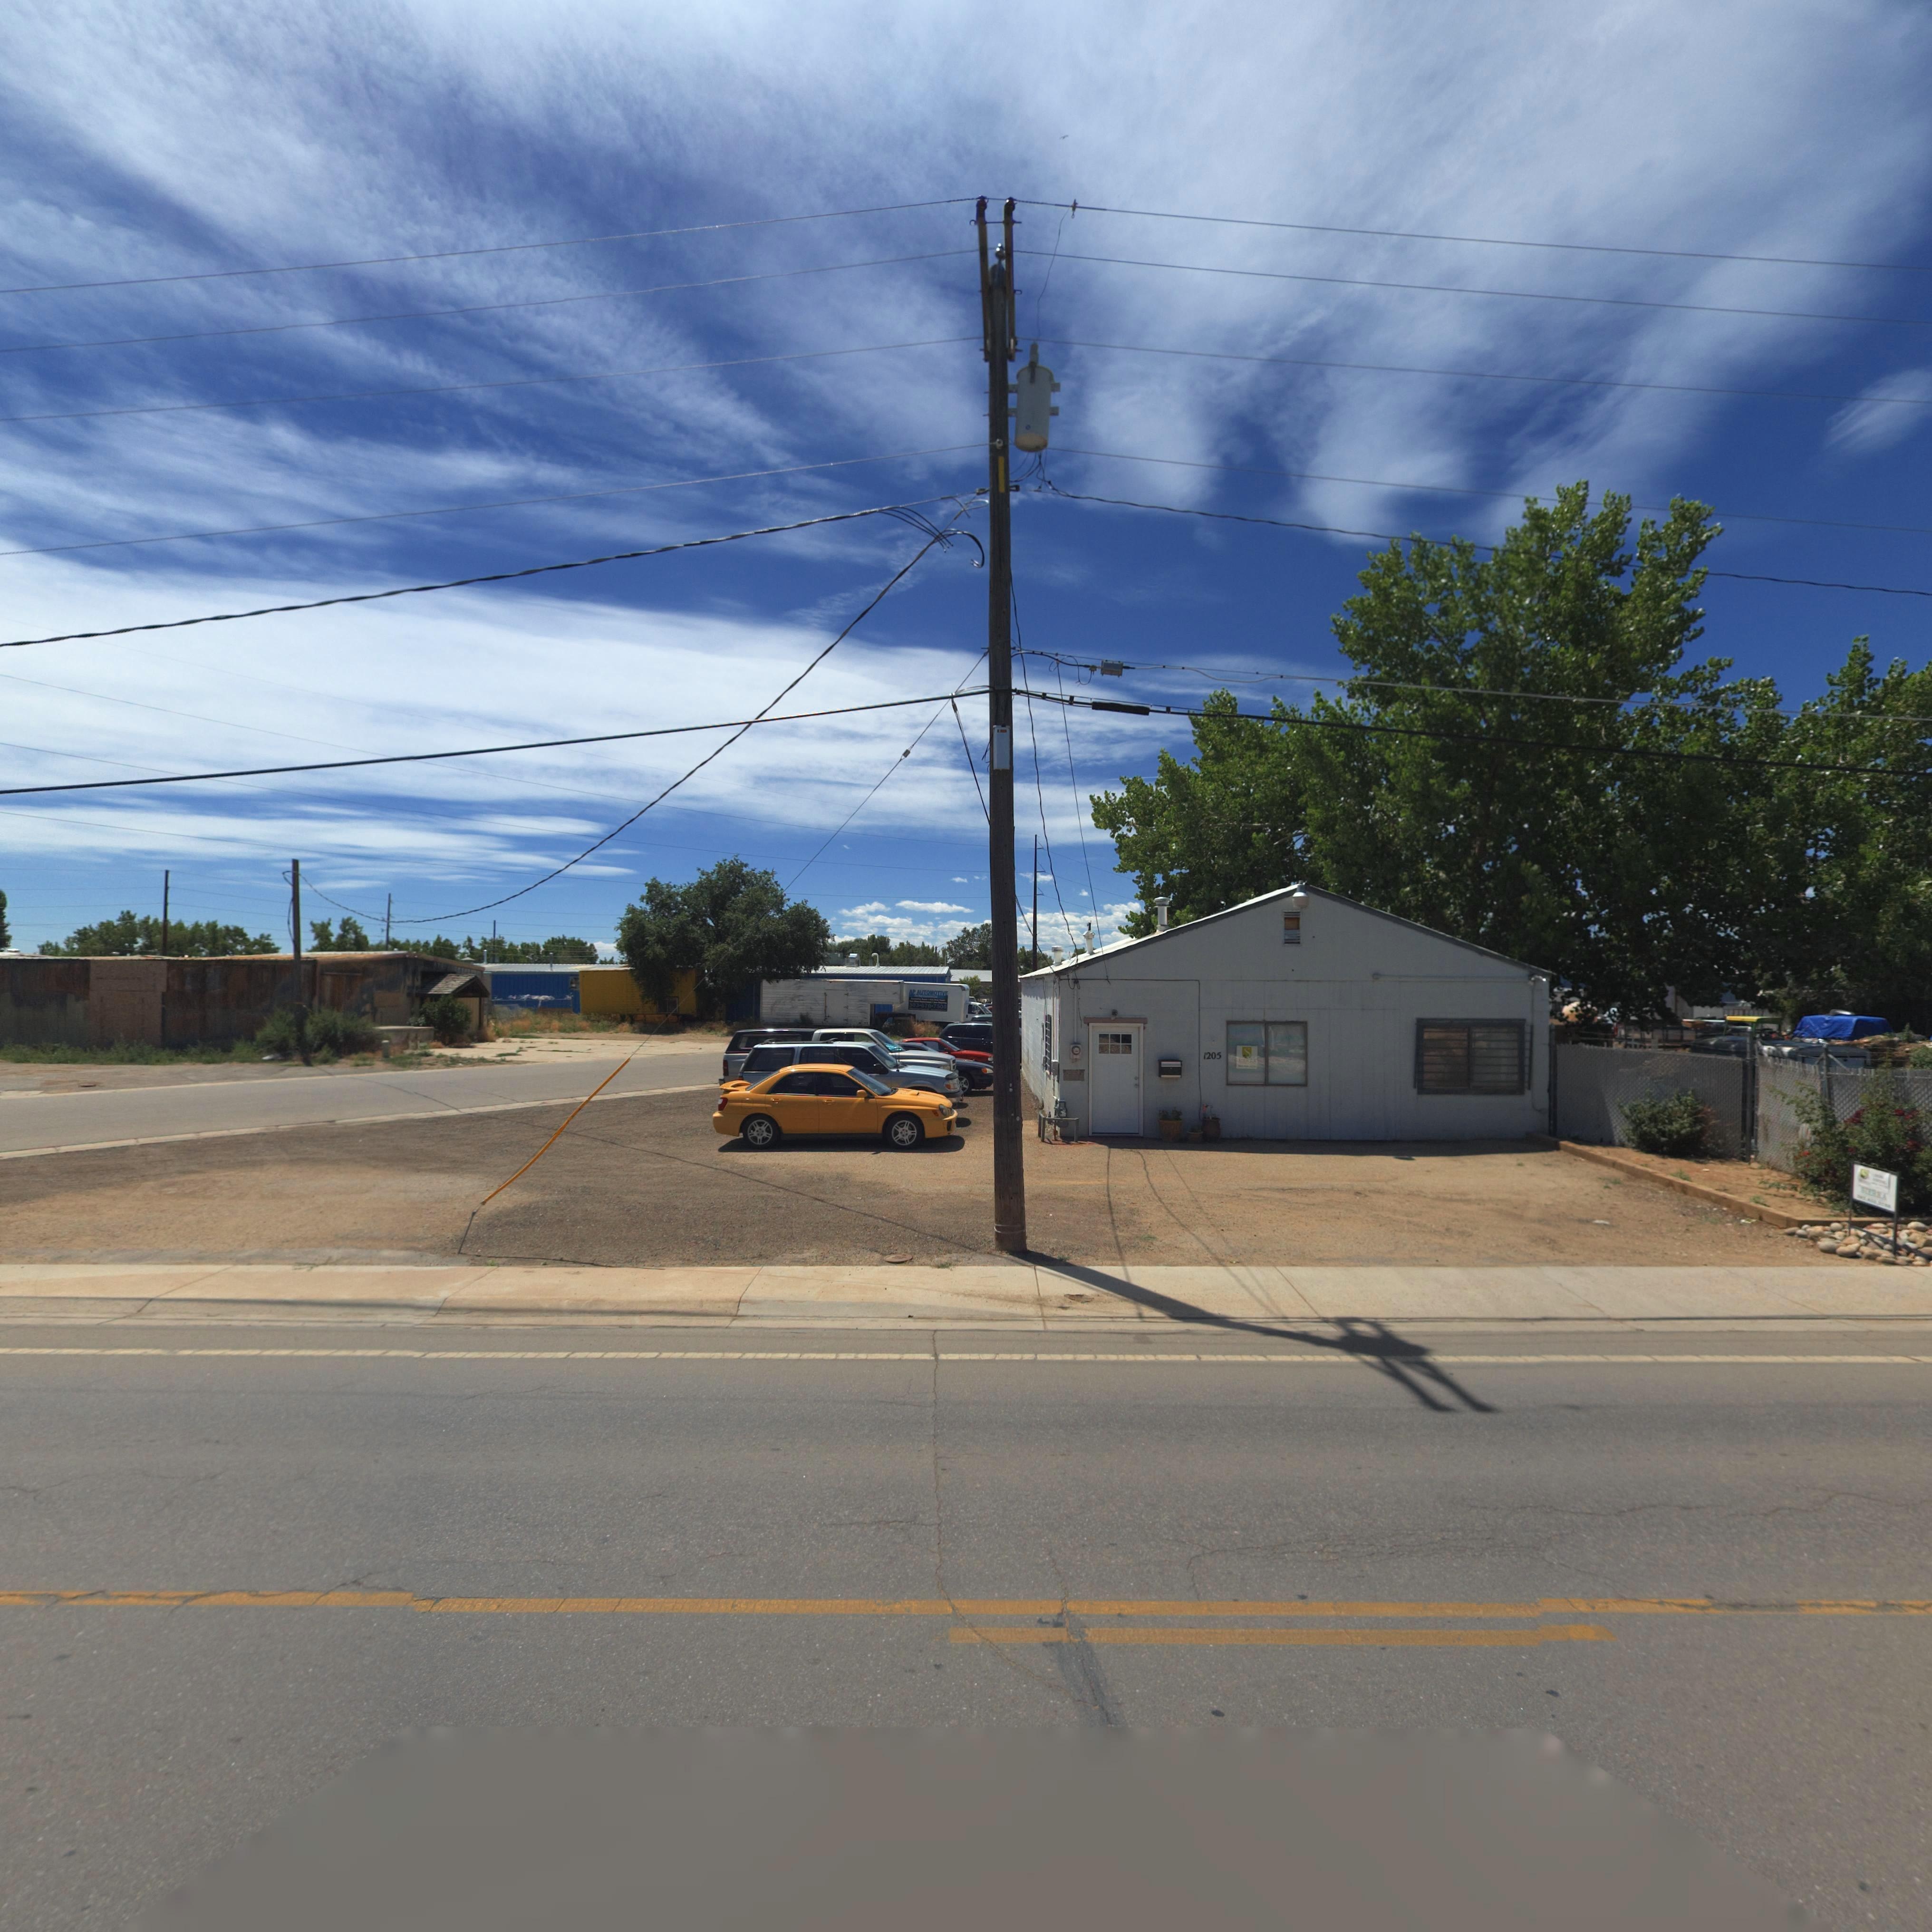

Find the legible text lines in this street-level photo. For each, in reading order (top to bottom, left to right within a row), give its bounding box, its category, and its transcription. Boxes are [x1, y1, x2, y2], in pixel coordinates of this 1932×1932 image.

[1203, 1051, 1222, 1060] StreetNumber: 1205
[1236, 1057, 1257, 1063] BusinessName: ***RRA
[1859, 1185, 1888, 1202] BusinessName: S**RRA